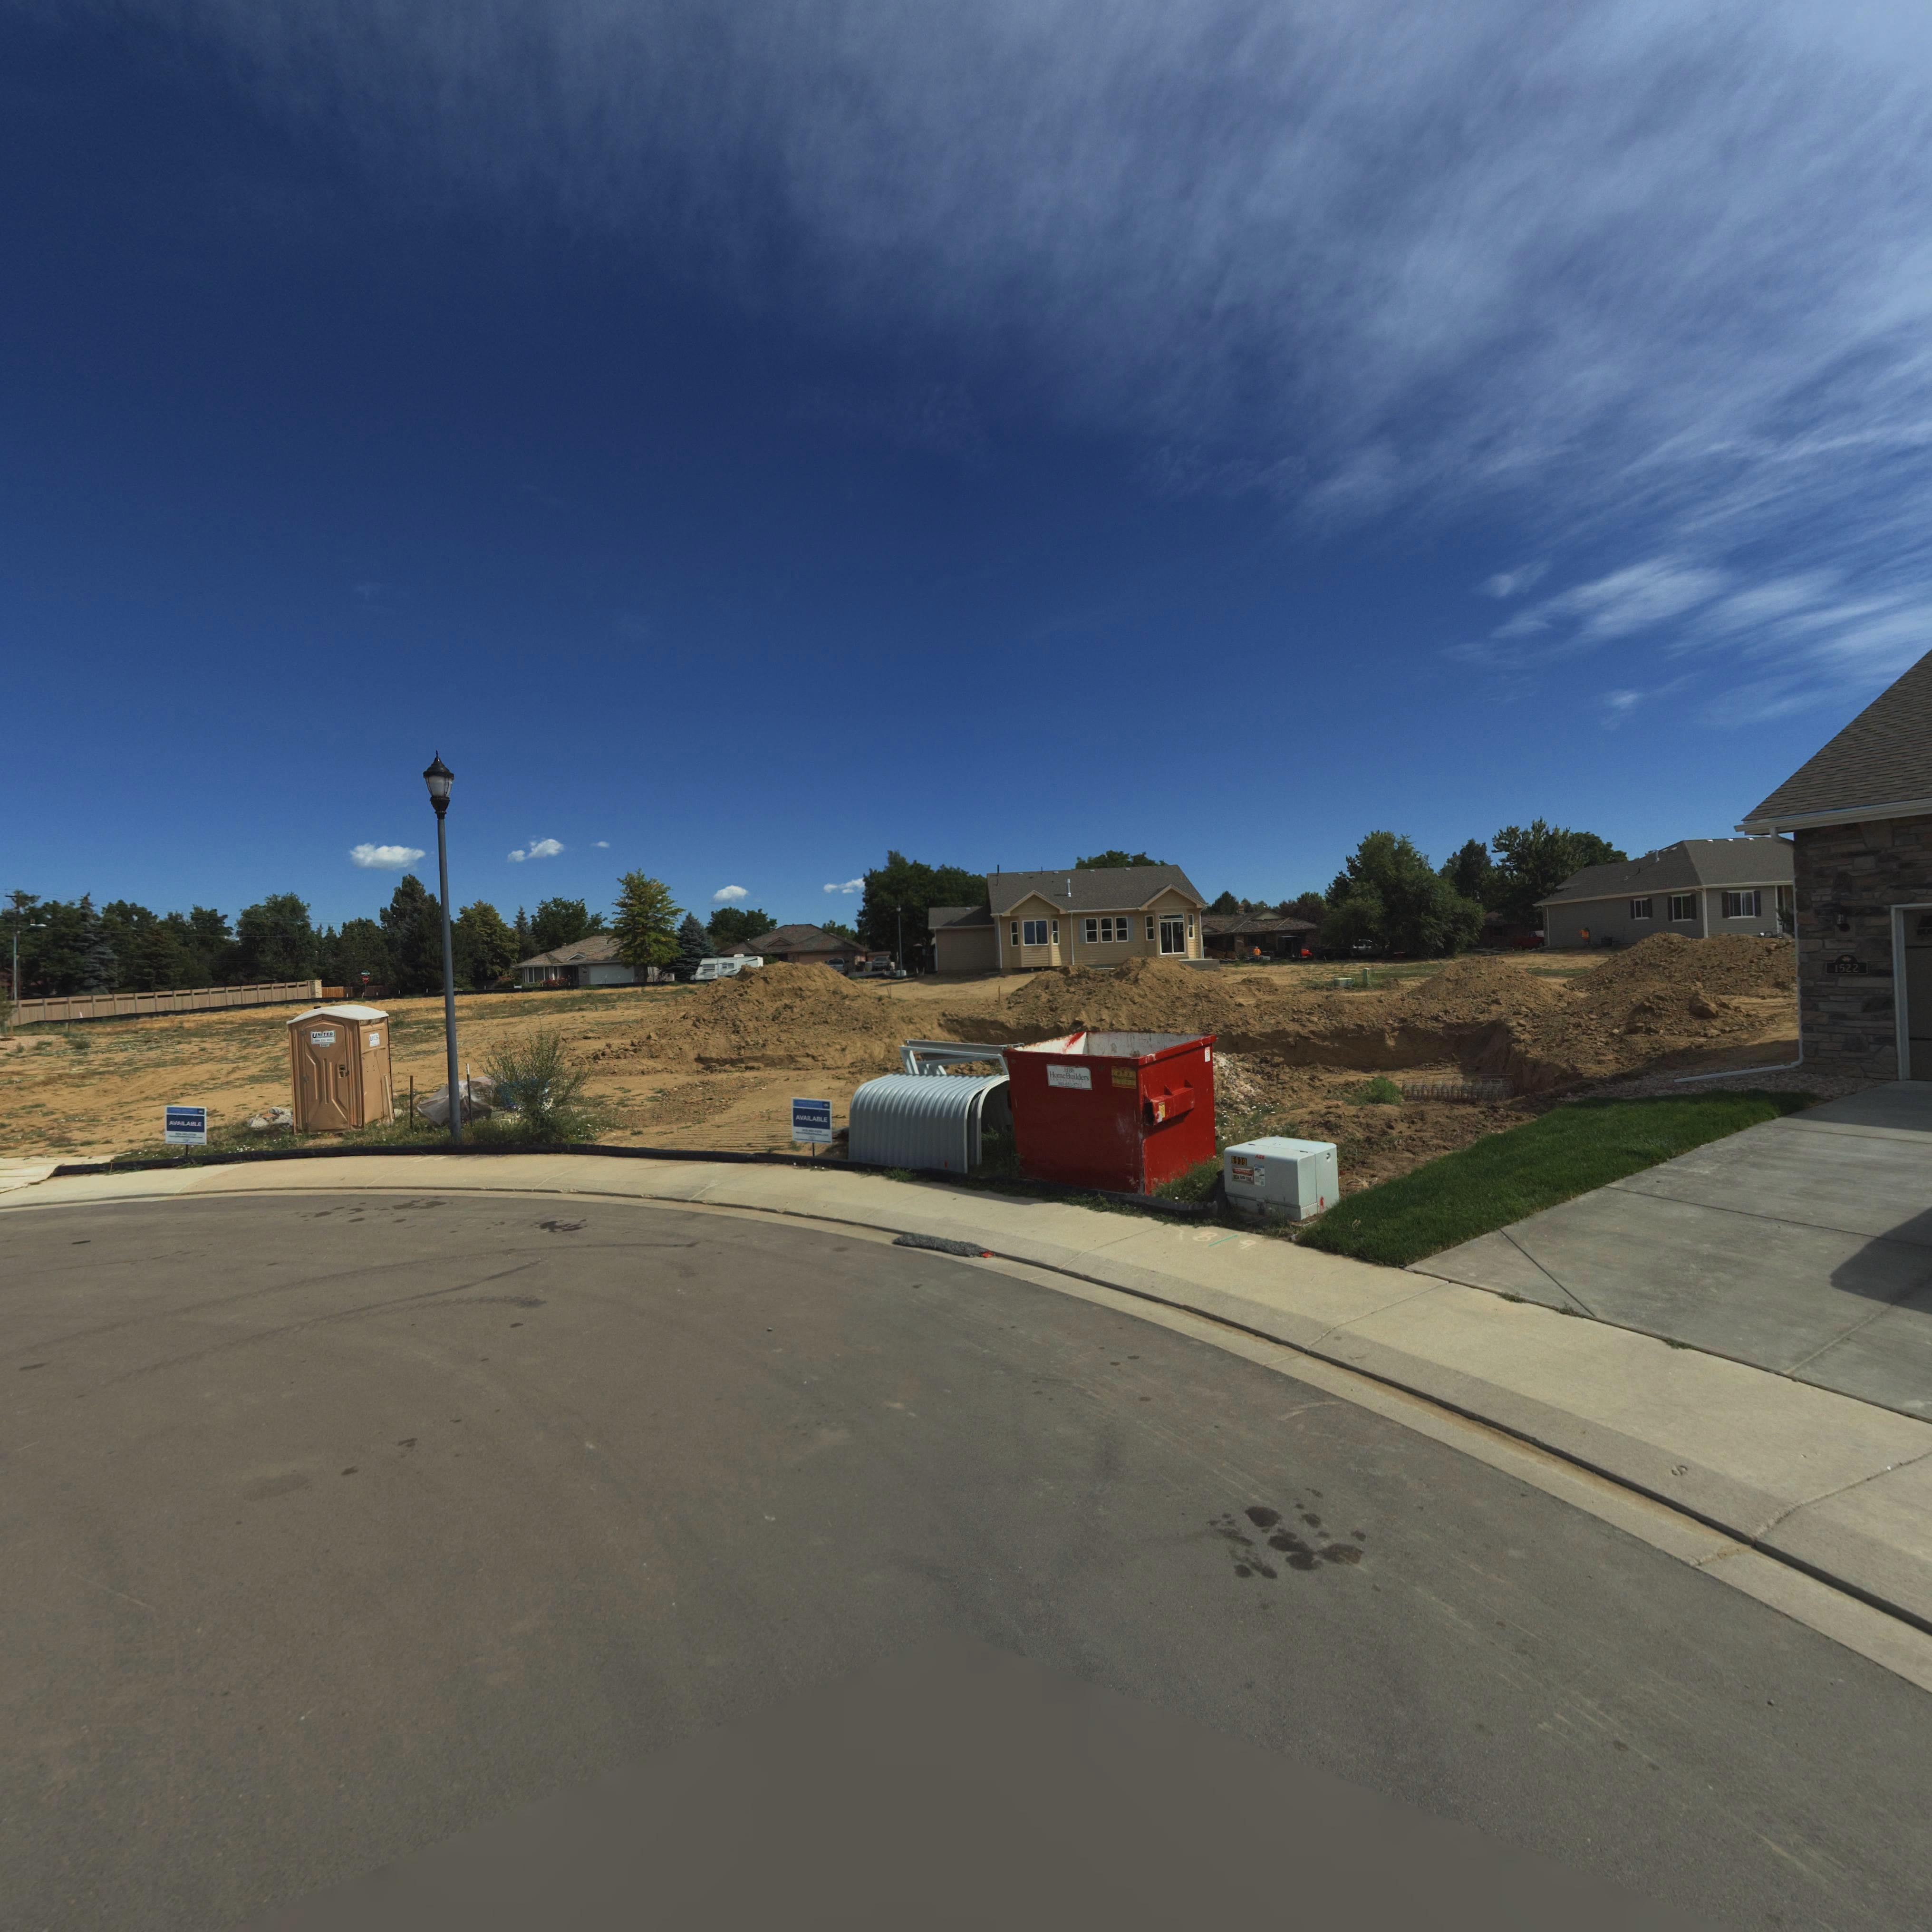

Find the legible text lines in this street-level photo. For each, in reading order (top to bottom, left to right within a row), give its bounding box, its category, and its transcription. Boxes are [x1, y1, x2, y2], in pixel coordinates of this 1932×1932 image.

[1834, 963, 1858, 973] StreetNumber: 1522